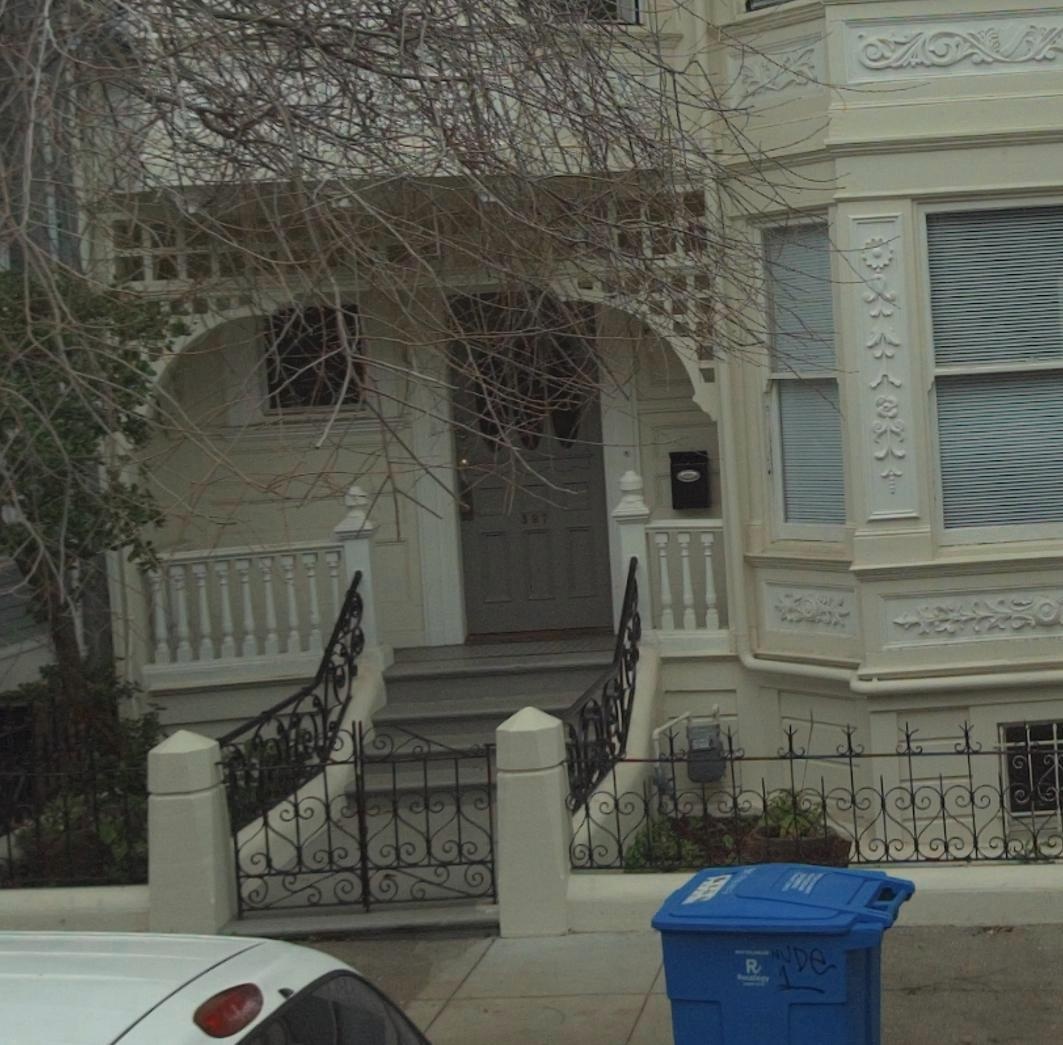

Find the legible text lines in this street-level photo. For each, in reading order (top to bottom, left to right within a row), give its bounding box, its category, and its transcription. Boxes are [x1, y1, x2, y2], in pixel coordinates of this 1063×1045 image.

[519, 513, 550, 525] StreetNumber: 387
[745, 958, 758, 975] None: R